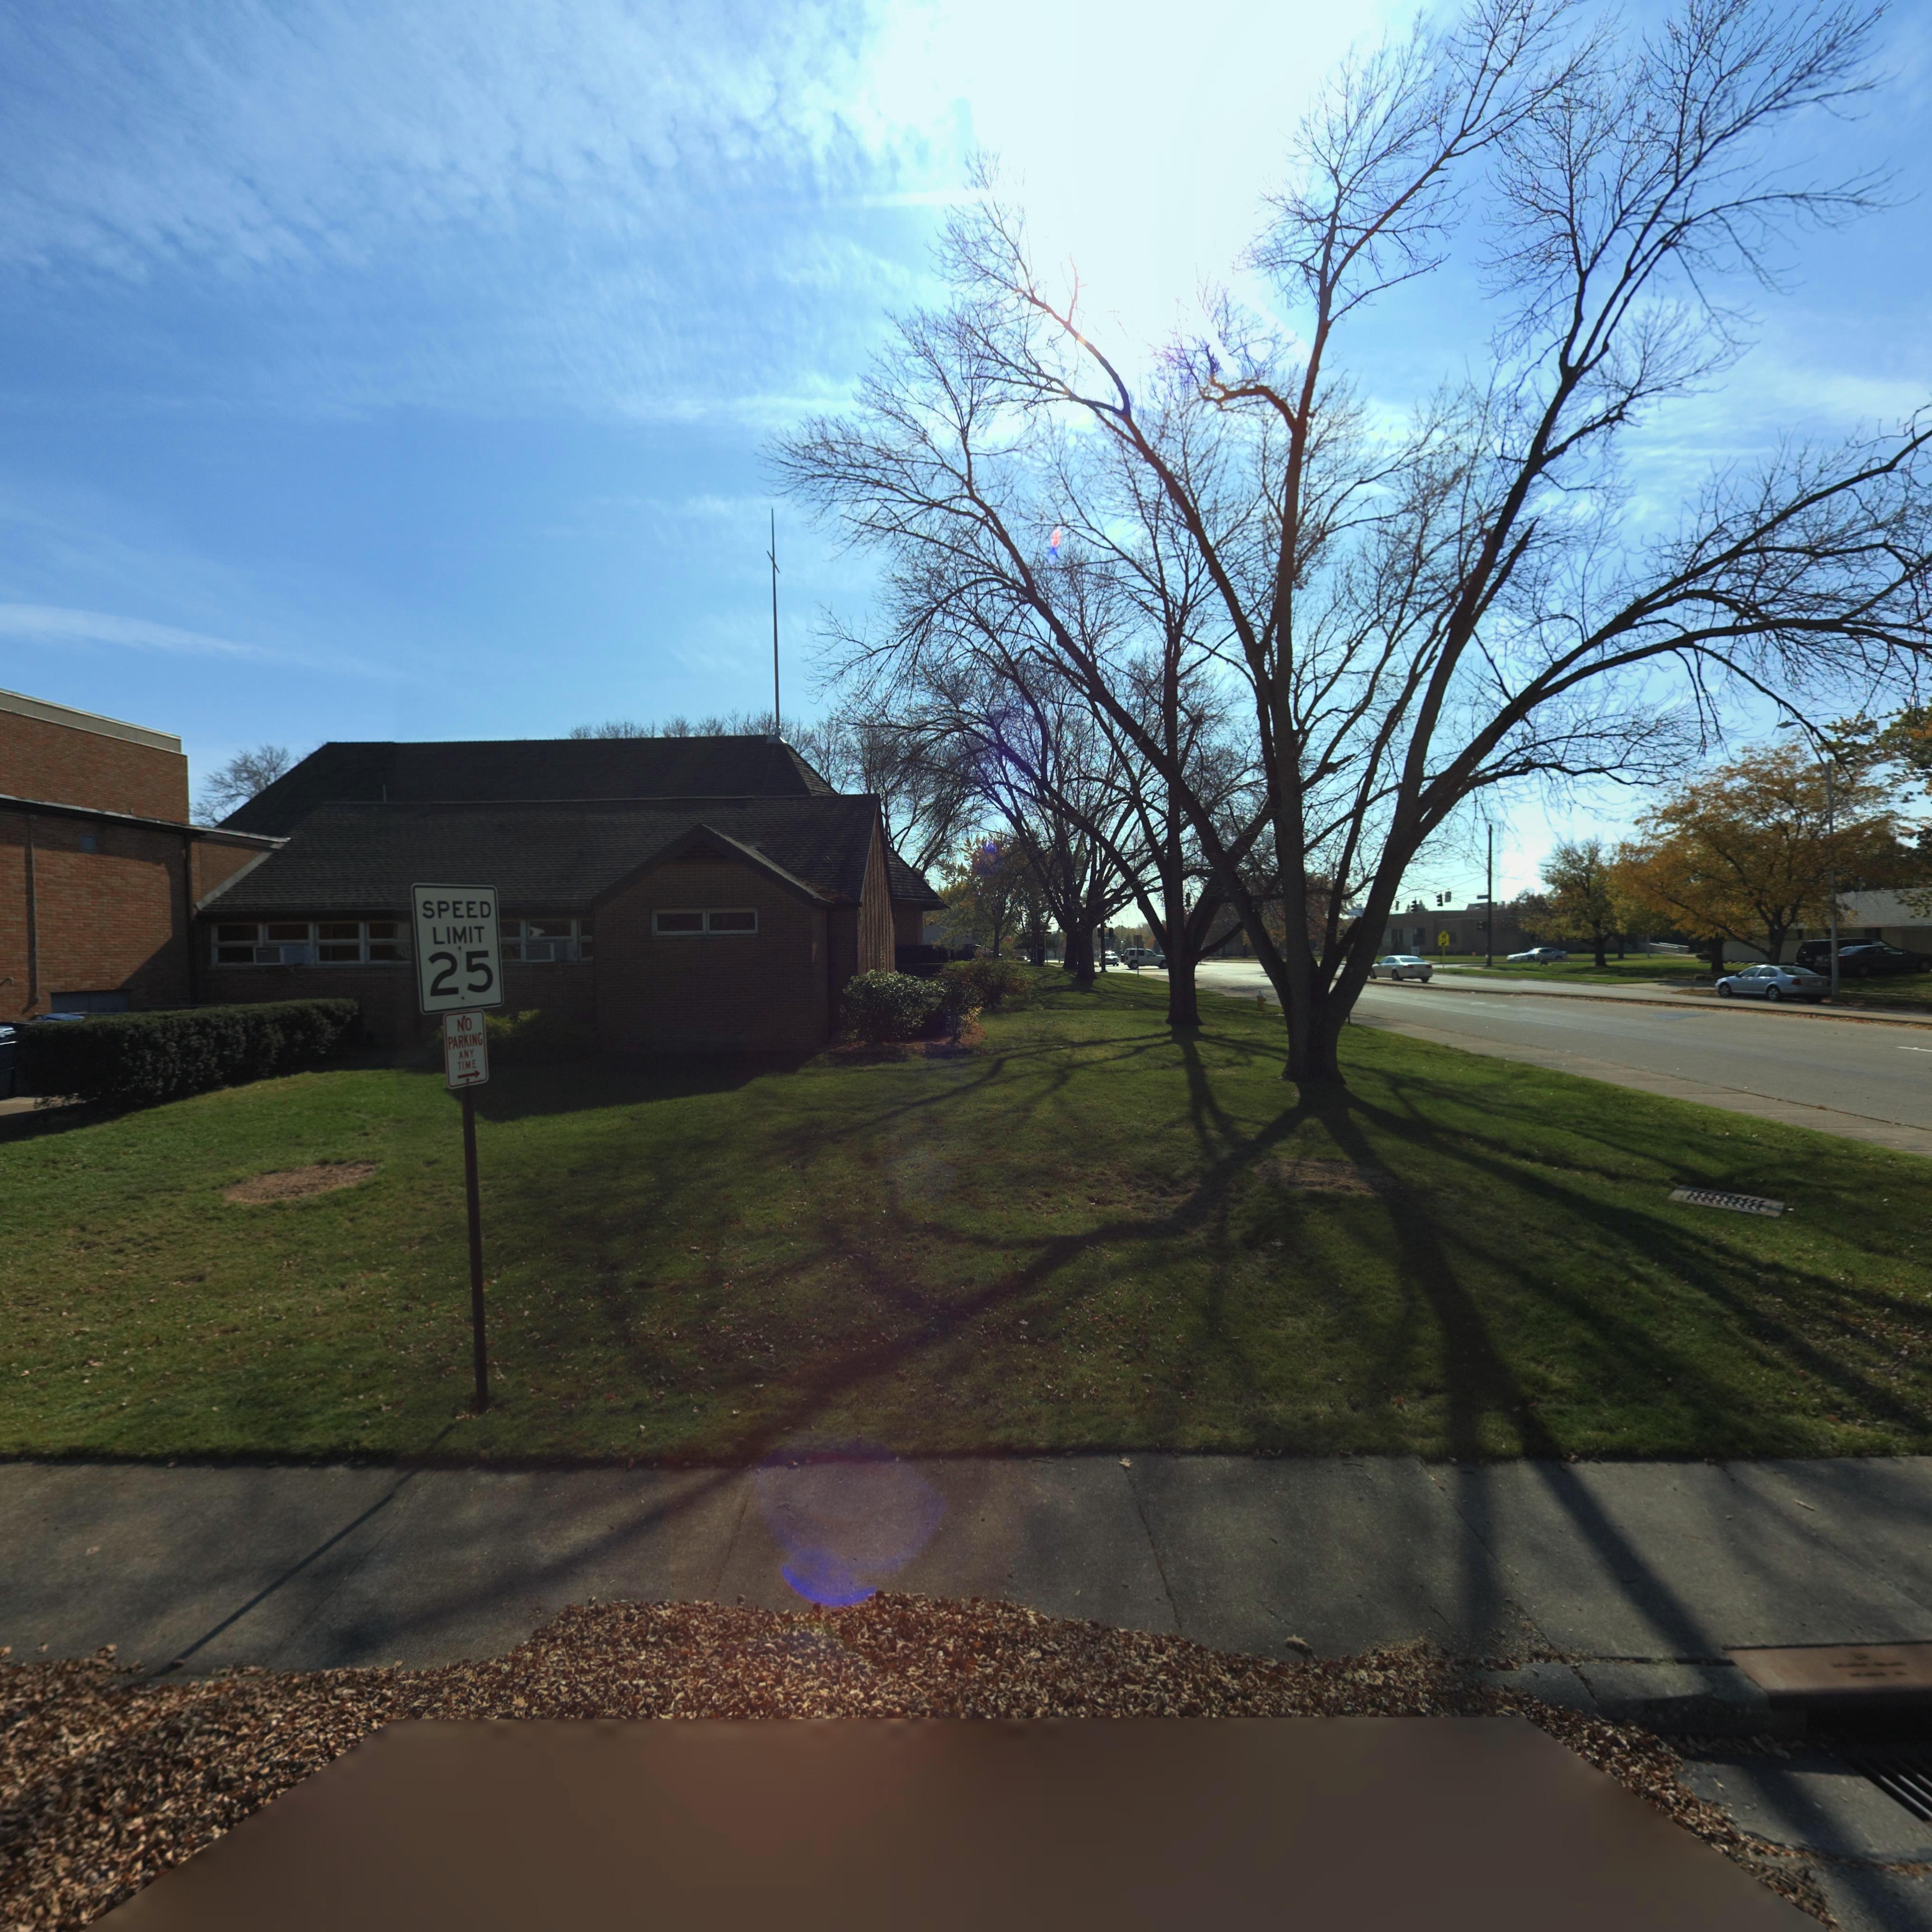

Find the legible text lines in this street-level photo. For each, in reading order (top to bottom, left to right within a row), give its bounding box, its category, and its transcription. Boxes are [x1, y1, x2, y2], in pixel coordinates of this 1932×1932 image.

[420, 897, 493, 922] None: SPEED
[429, 924, 487, 947] None: LIMIT
[425, 947, 496, 1000] None: 25
[455, 1015, 473, 1034] None: NO
[446, 1030, 485, 1052] None: PARKING
[456, 1046, 476, 1062] None: ANY
[455, 1057, 478, 1072] None: TIME